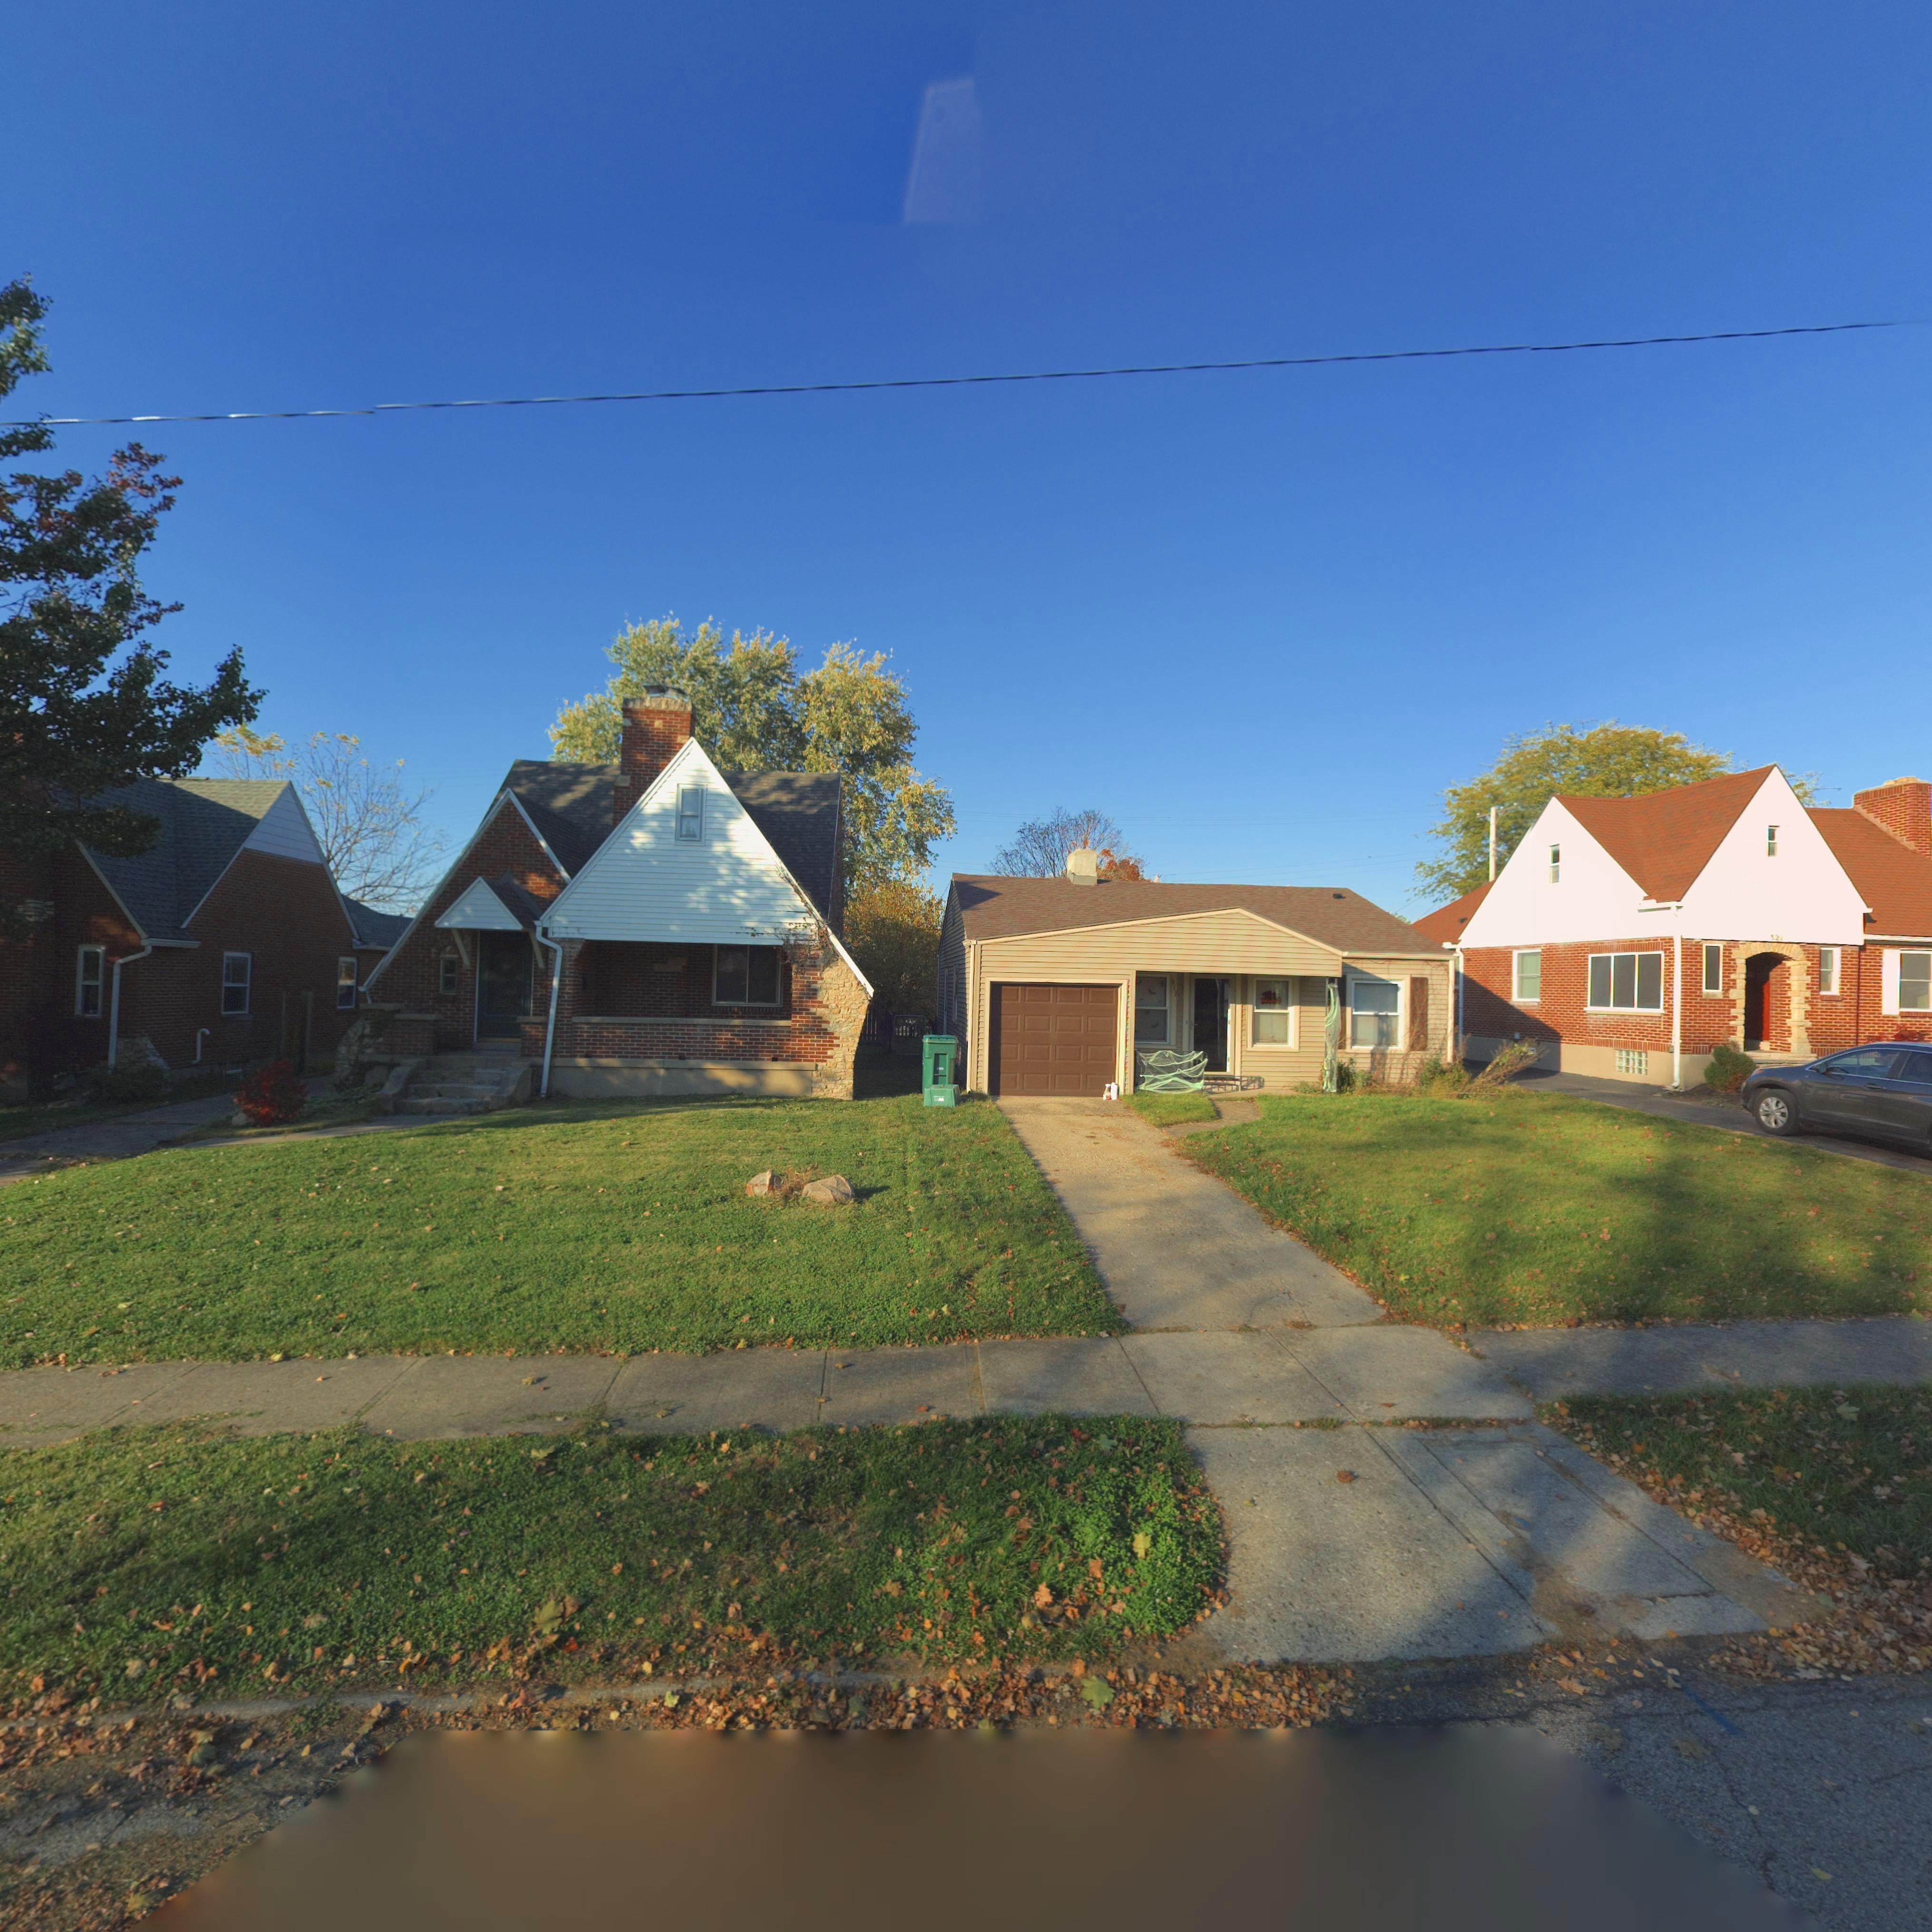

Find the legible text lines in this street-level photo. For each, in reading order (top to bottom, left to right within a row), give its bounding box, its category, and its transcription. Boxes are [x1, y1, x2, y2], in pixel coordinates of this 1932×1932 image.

[1769, 934, 1784, 942] StreetNumber: 321